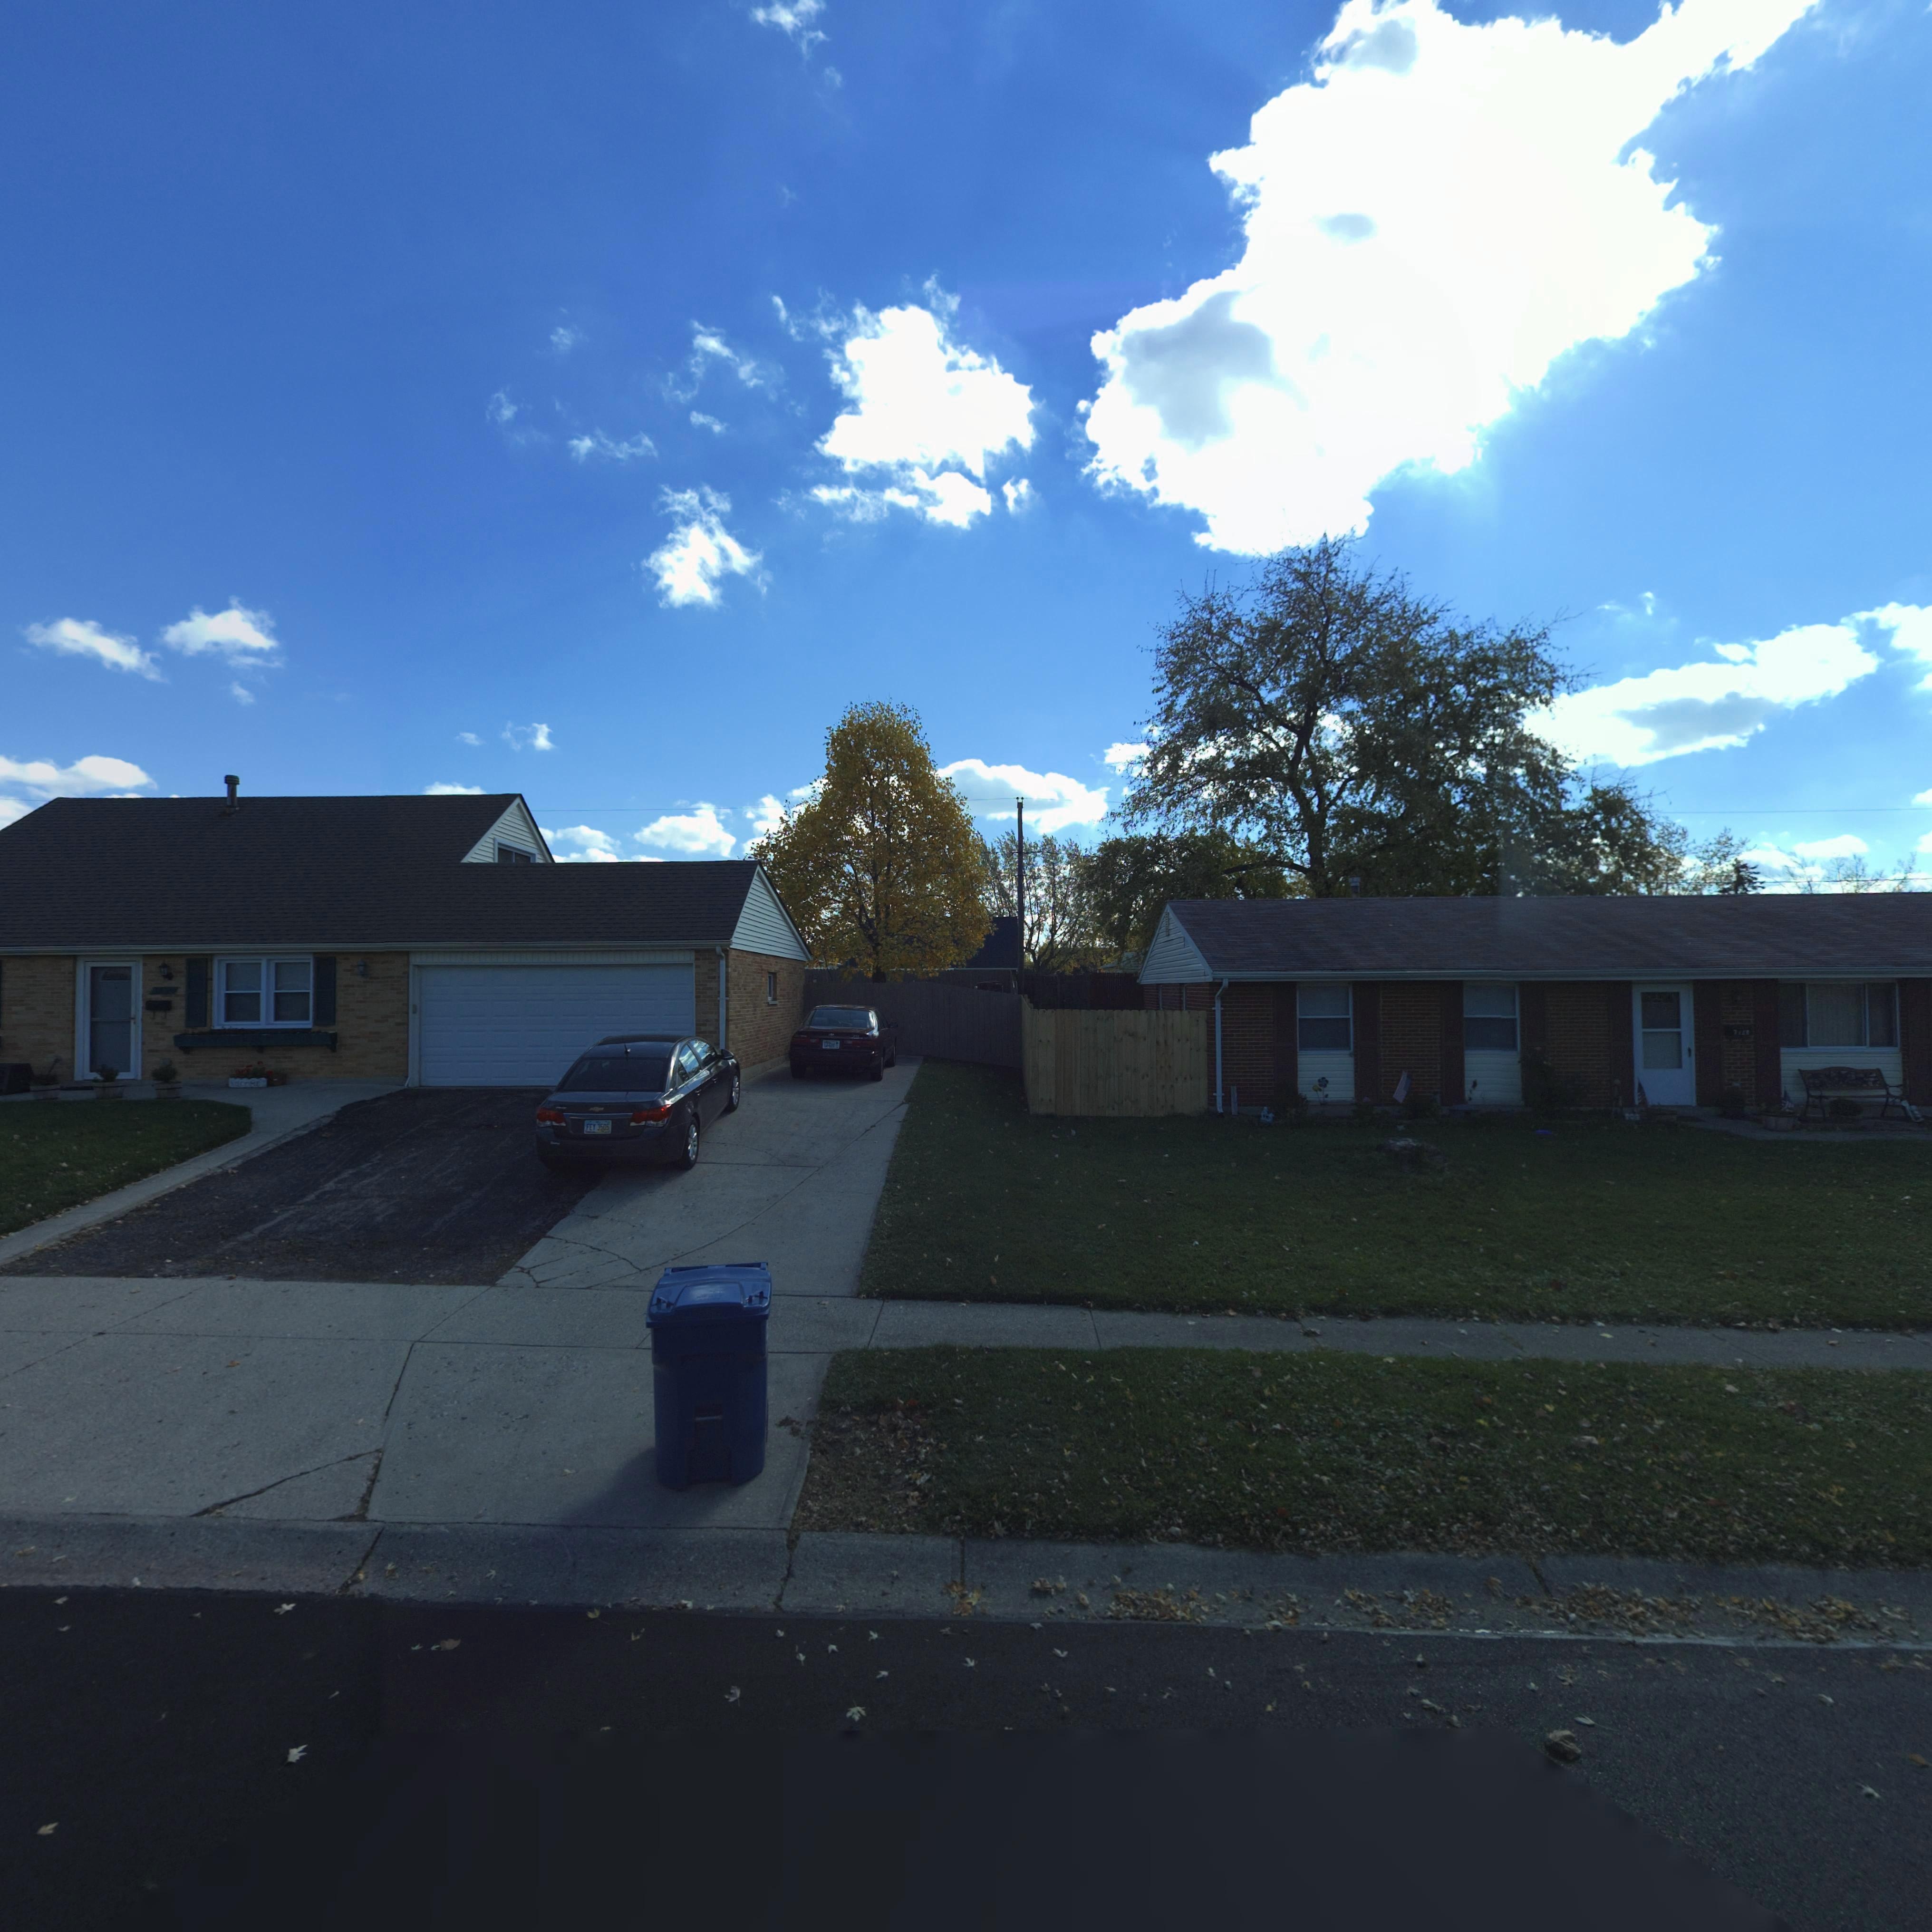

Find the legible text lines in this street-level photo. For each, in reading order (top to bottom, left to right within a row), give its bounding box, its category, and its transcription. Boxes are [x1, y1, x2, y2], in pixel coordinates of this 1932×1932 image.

[1733, 1029, 1750, 1035] StreetNumber: 7*2*